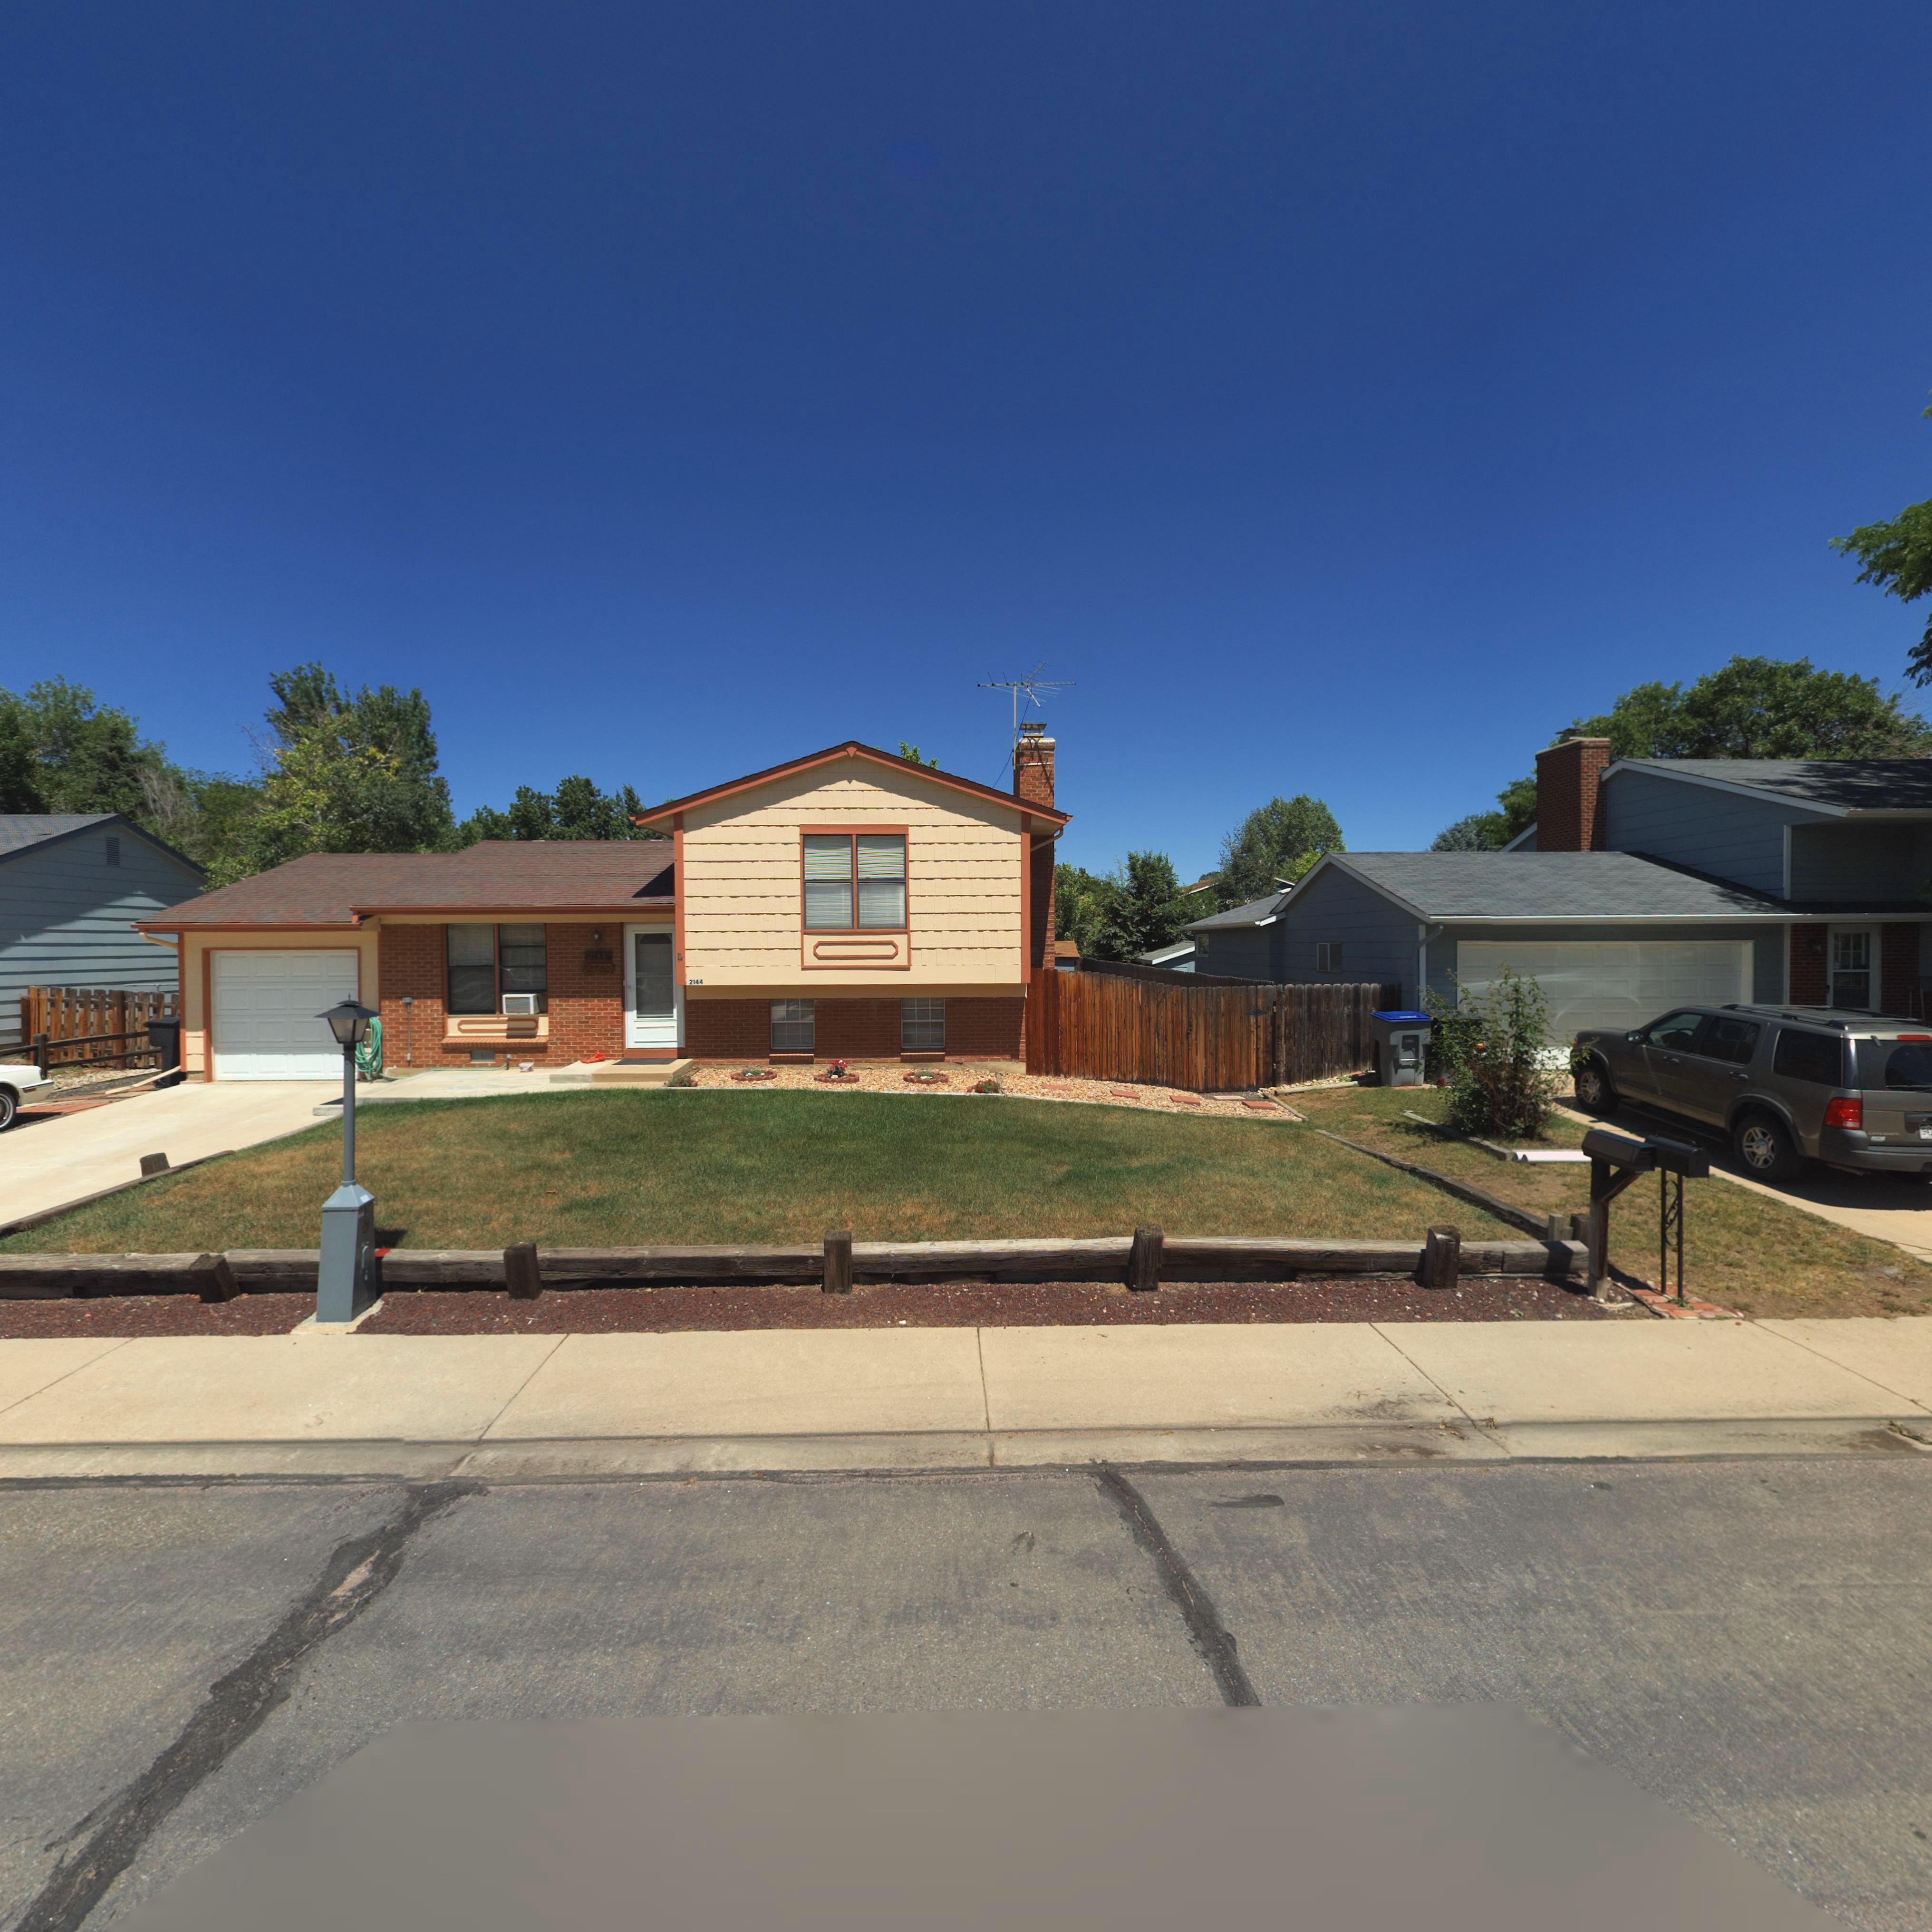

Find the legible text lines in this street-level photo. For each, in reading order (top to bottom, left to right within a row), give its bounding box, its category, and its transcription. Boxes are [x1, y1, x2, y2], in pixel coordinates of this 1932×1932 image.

[588, 952, 606, 960] StreetNumber: 2144
[688, 978, 704, 985] StreetNumber: 2144